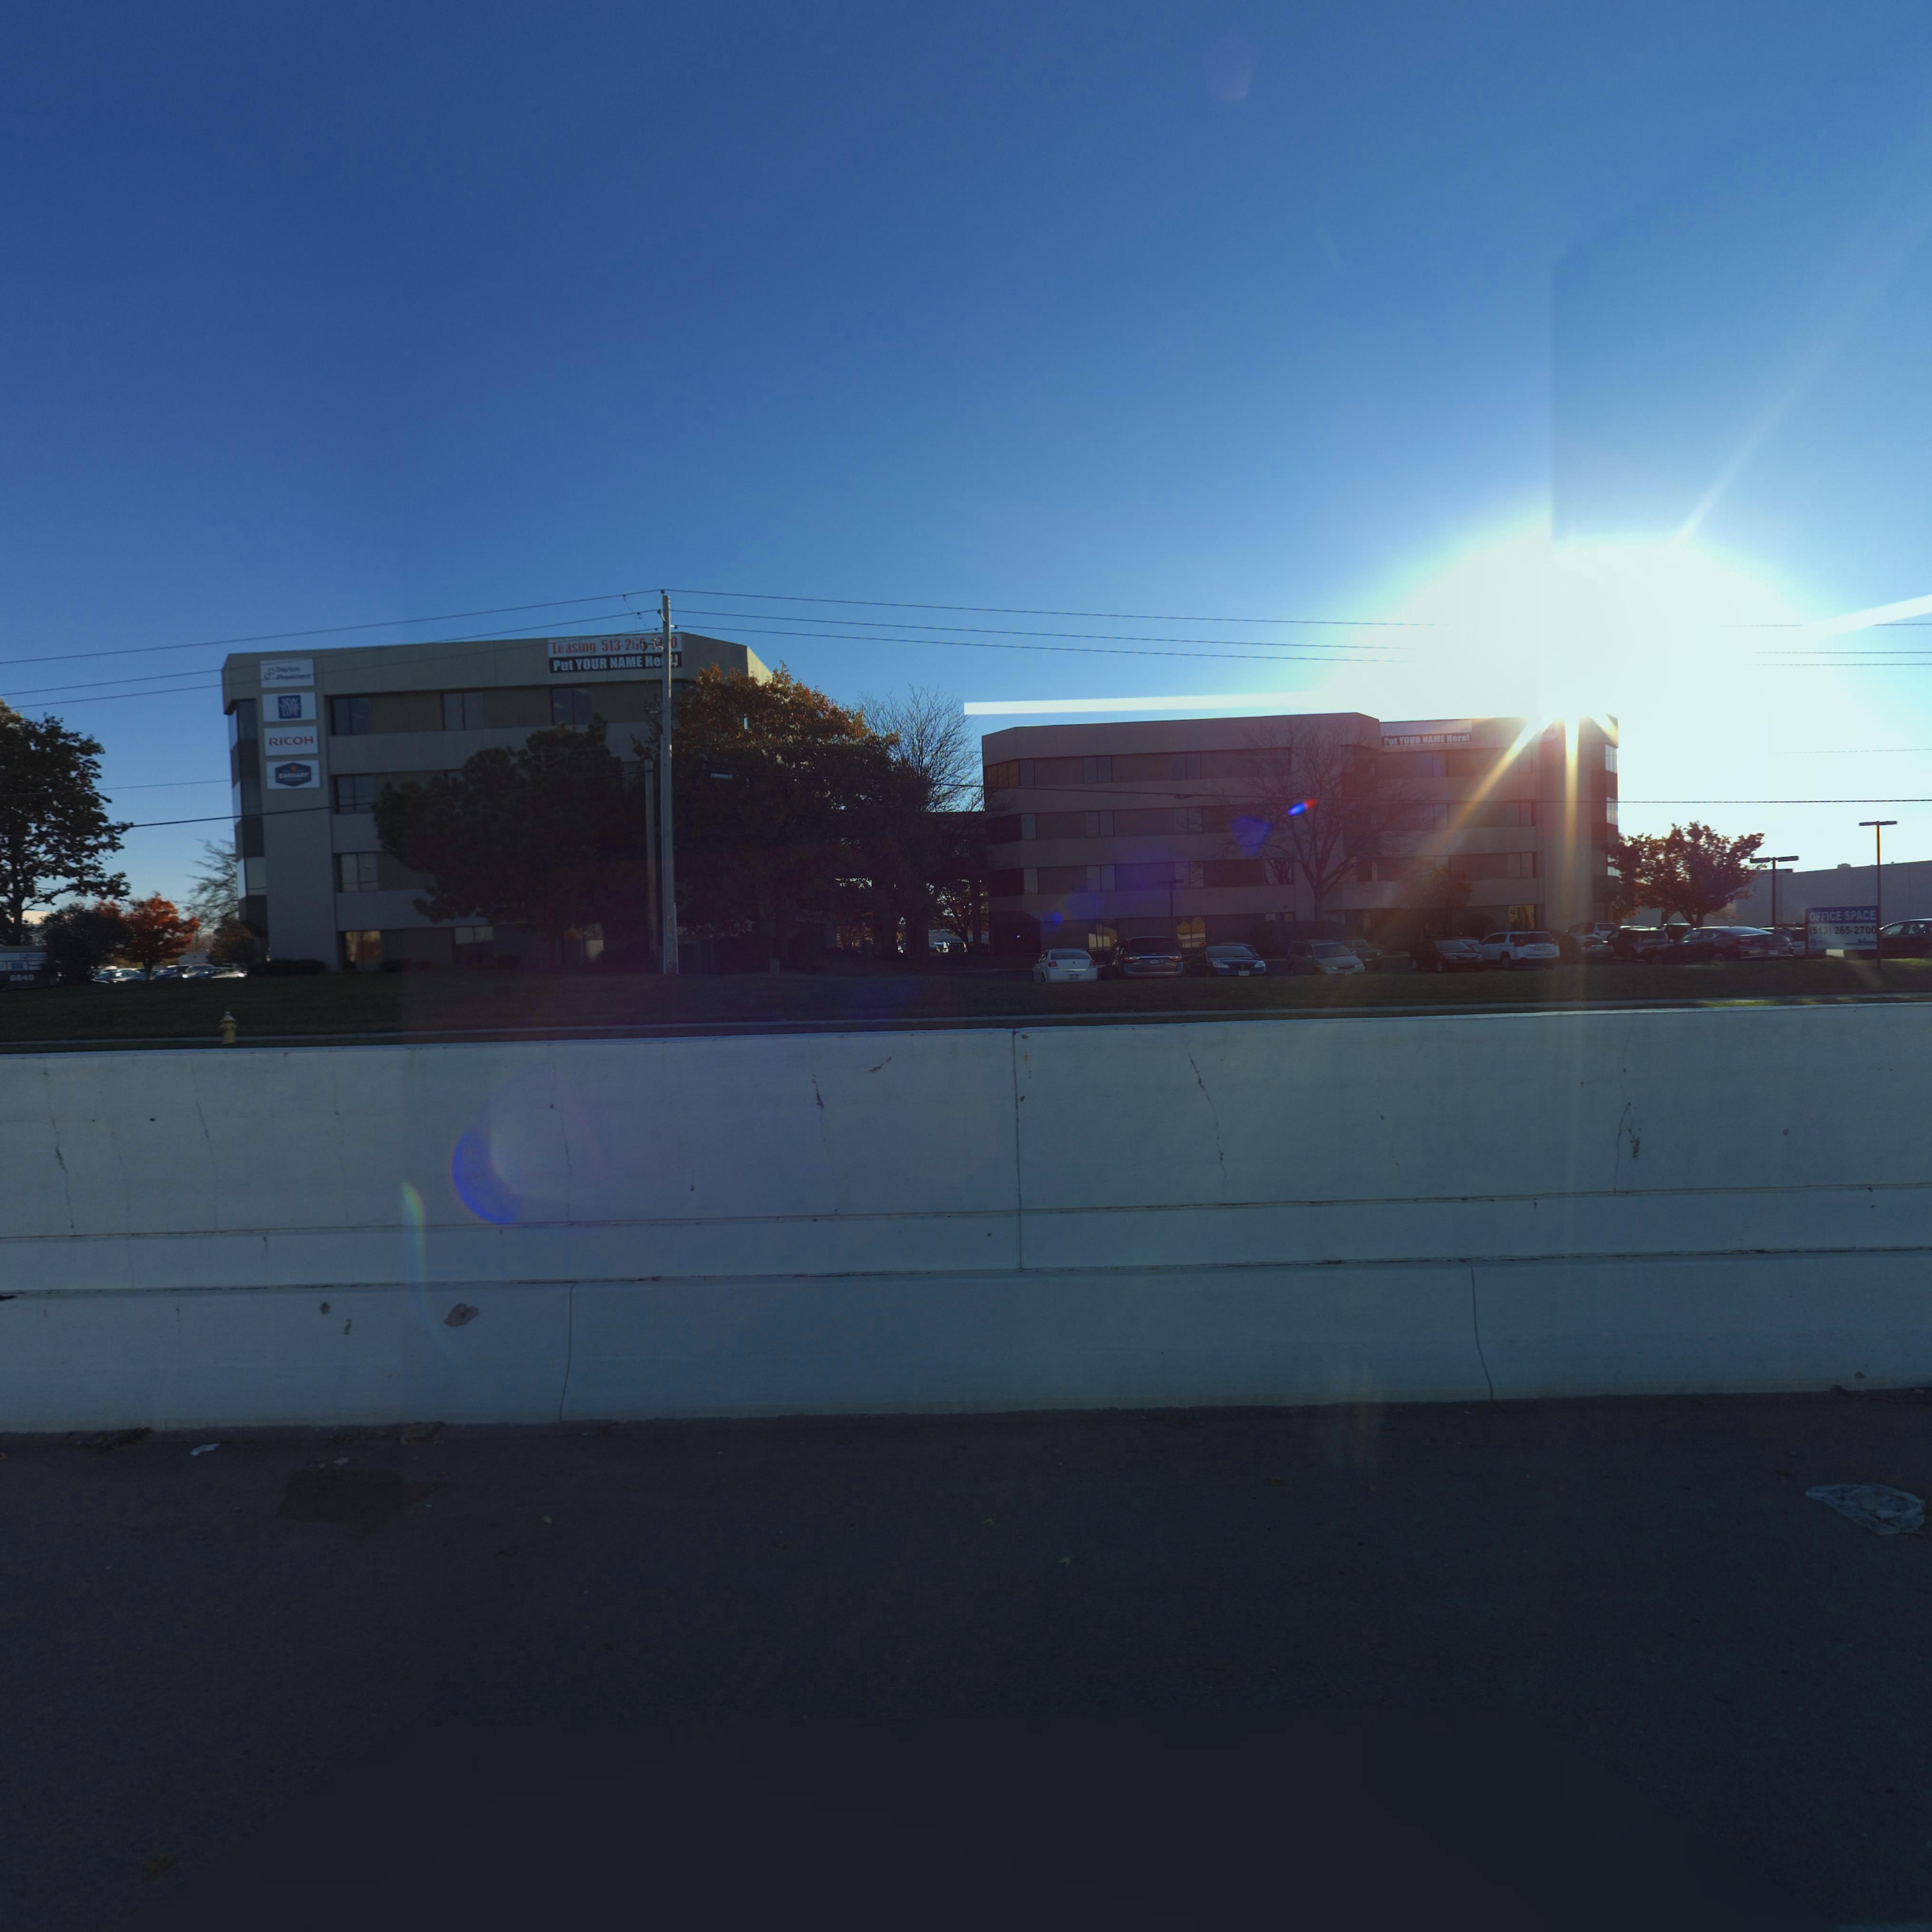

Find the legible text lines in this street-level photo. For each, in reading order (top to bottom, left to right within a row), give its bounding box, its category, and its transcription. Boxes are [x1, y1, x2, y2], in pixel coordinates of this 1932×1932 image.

[550, 633, 677, 656] None: Leasing 513-26*-****
[551, 652, 678, 672] None: Put YOUR NAME Here!
[280, 696, 297, 705] None: NEW
[278, 701, 300, 710] None: YORK
[278, 708, 298, 716] None: LIFE
[267, 735, 314, 747] None: RICOH
[1381, 734, 1471, 745] None: Put YOUR NAME Here!
[1807, 909, 1878, 923] None: OFFICE SPACE
[1808, 924, 1877, 937] None: (513)265-2700
[8, 973, 36, 983] StreetNumber: 6*40